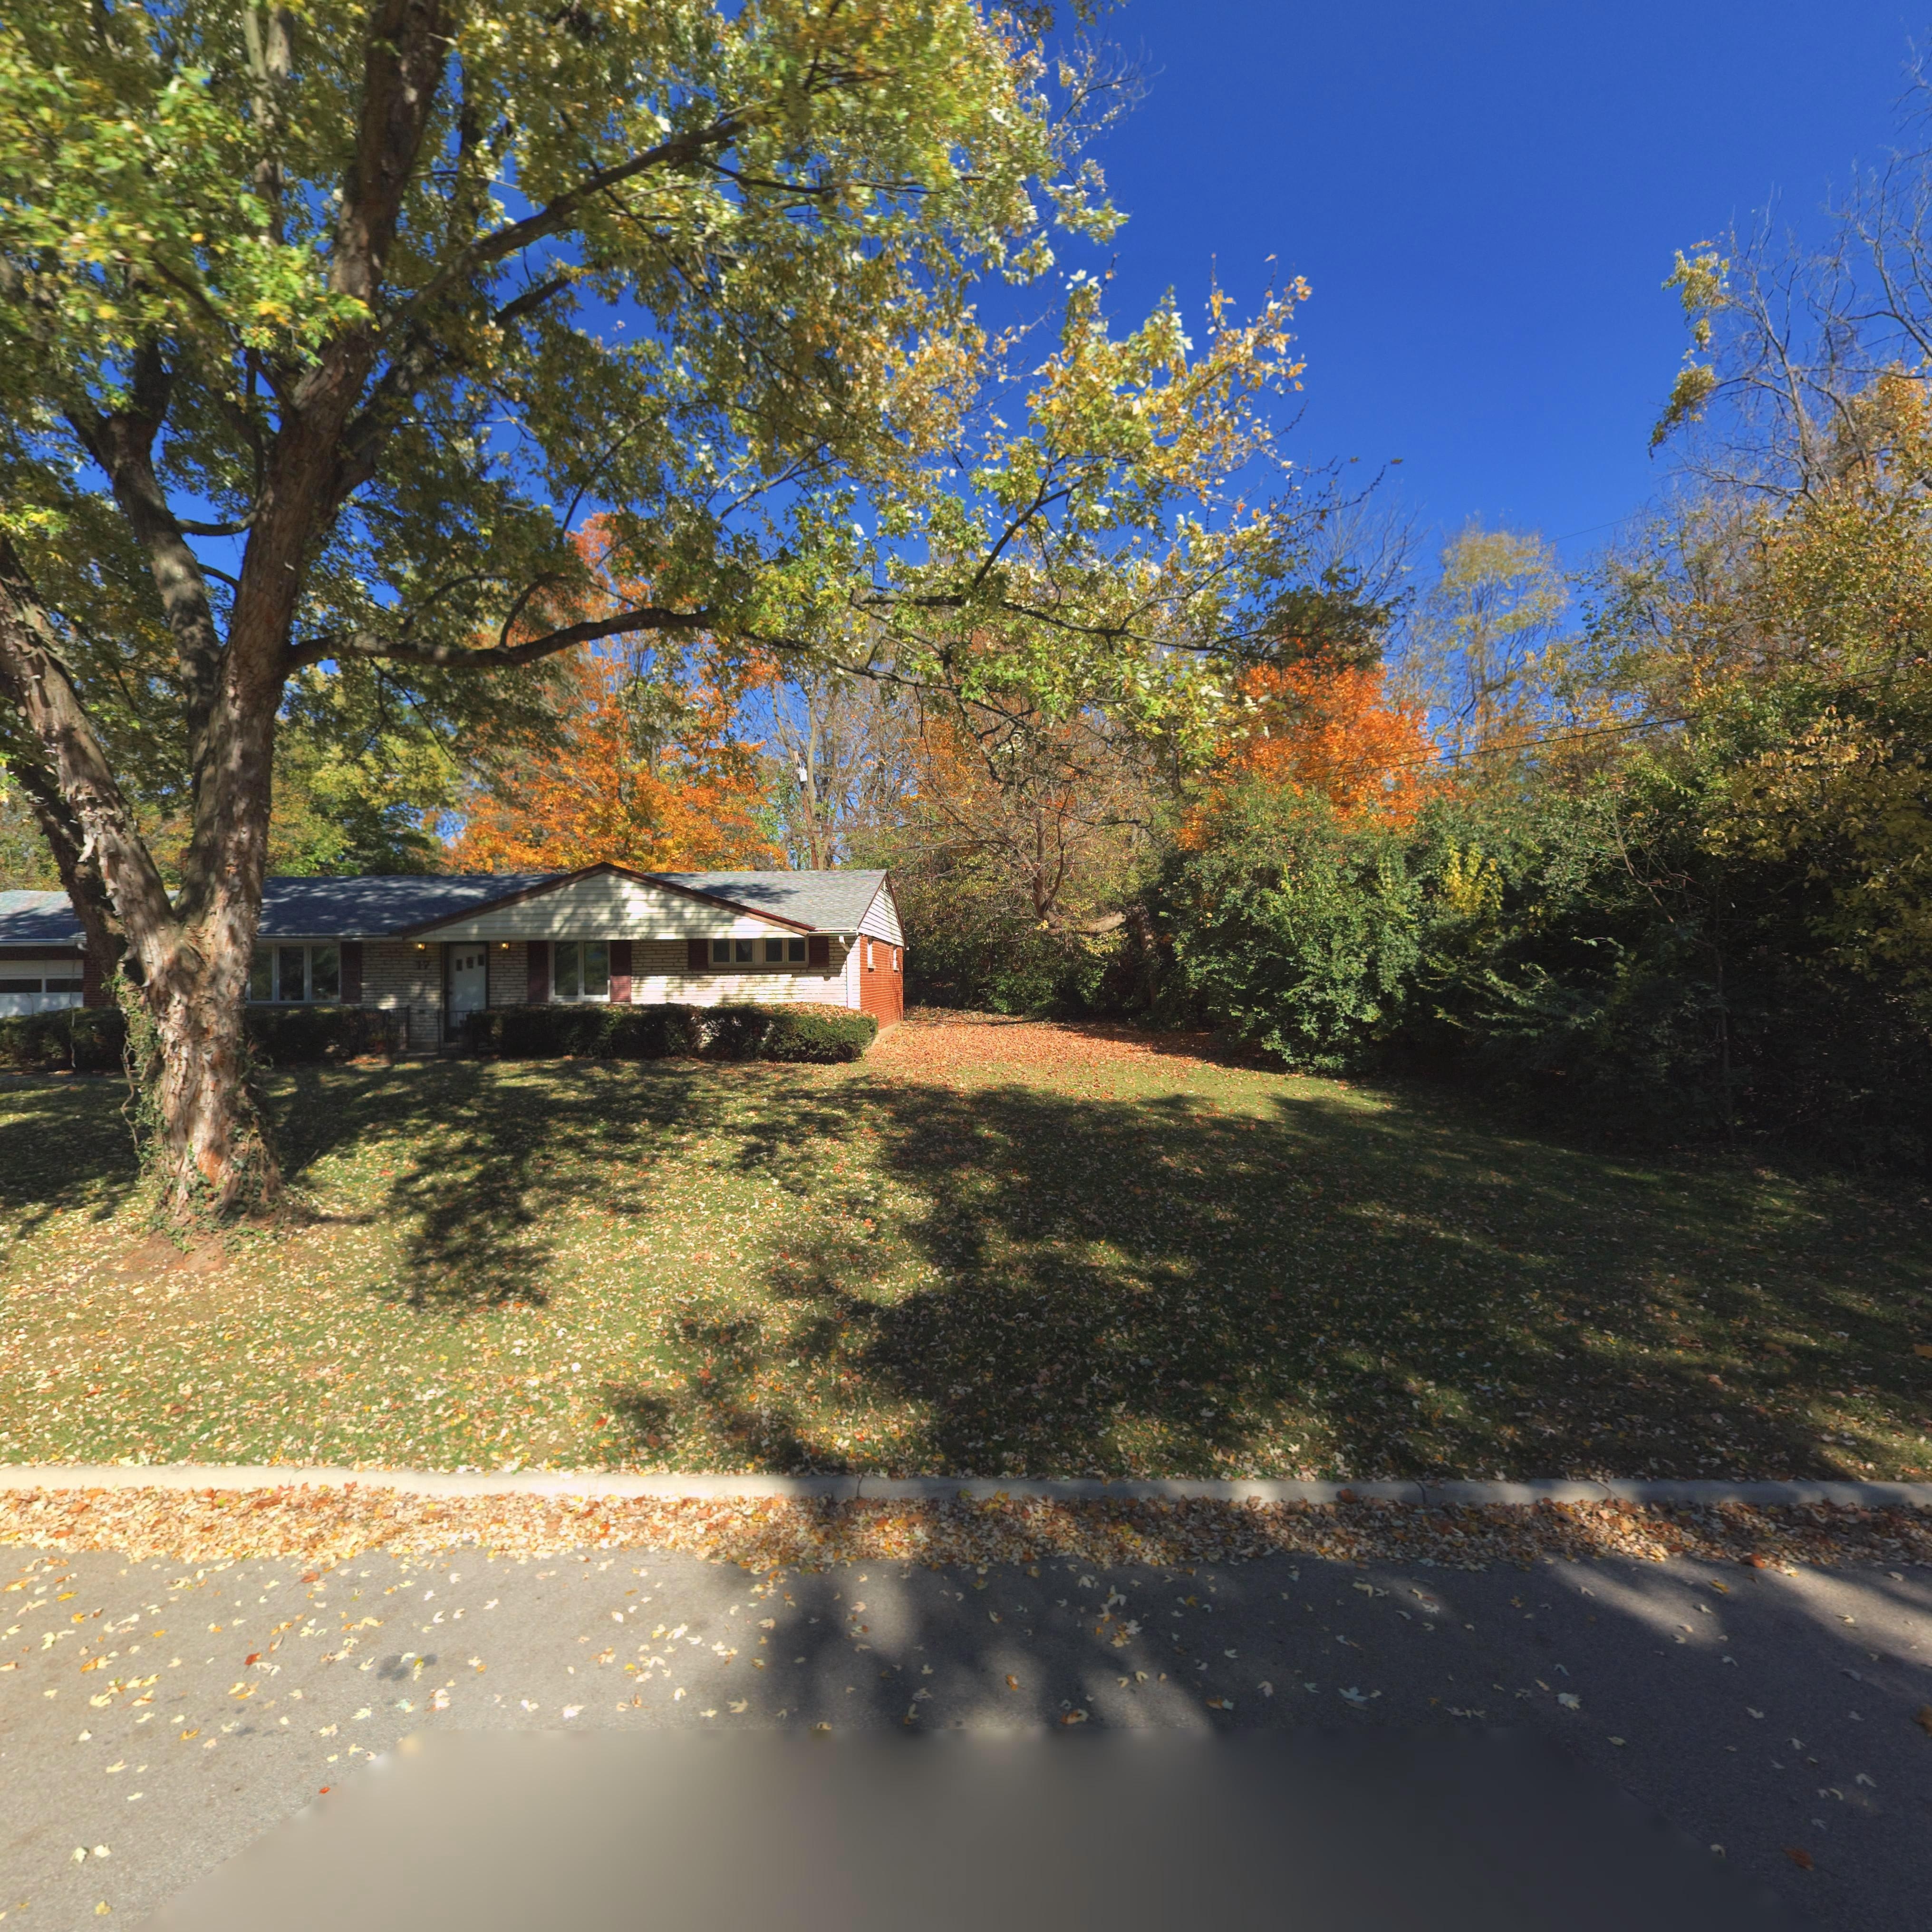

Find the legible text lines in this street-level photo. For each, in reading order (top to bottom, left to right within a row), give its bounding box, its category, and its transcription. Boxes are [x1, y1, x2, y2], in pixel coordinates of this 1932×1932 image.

[415, 959, 431, 970] StreetNumber: 17